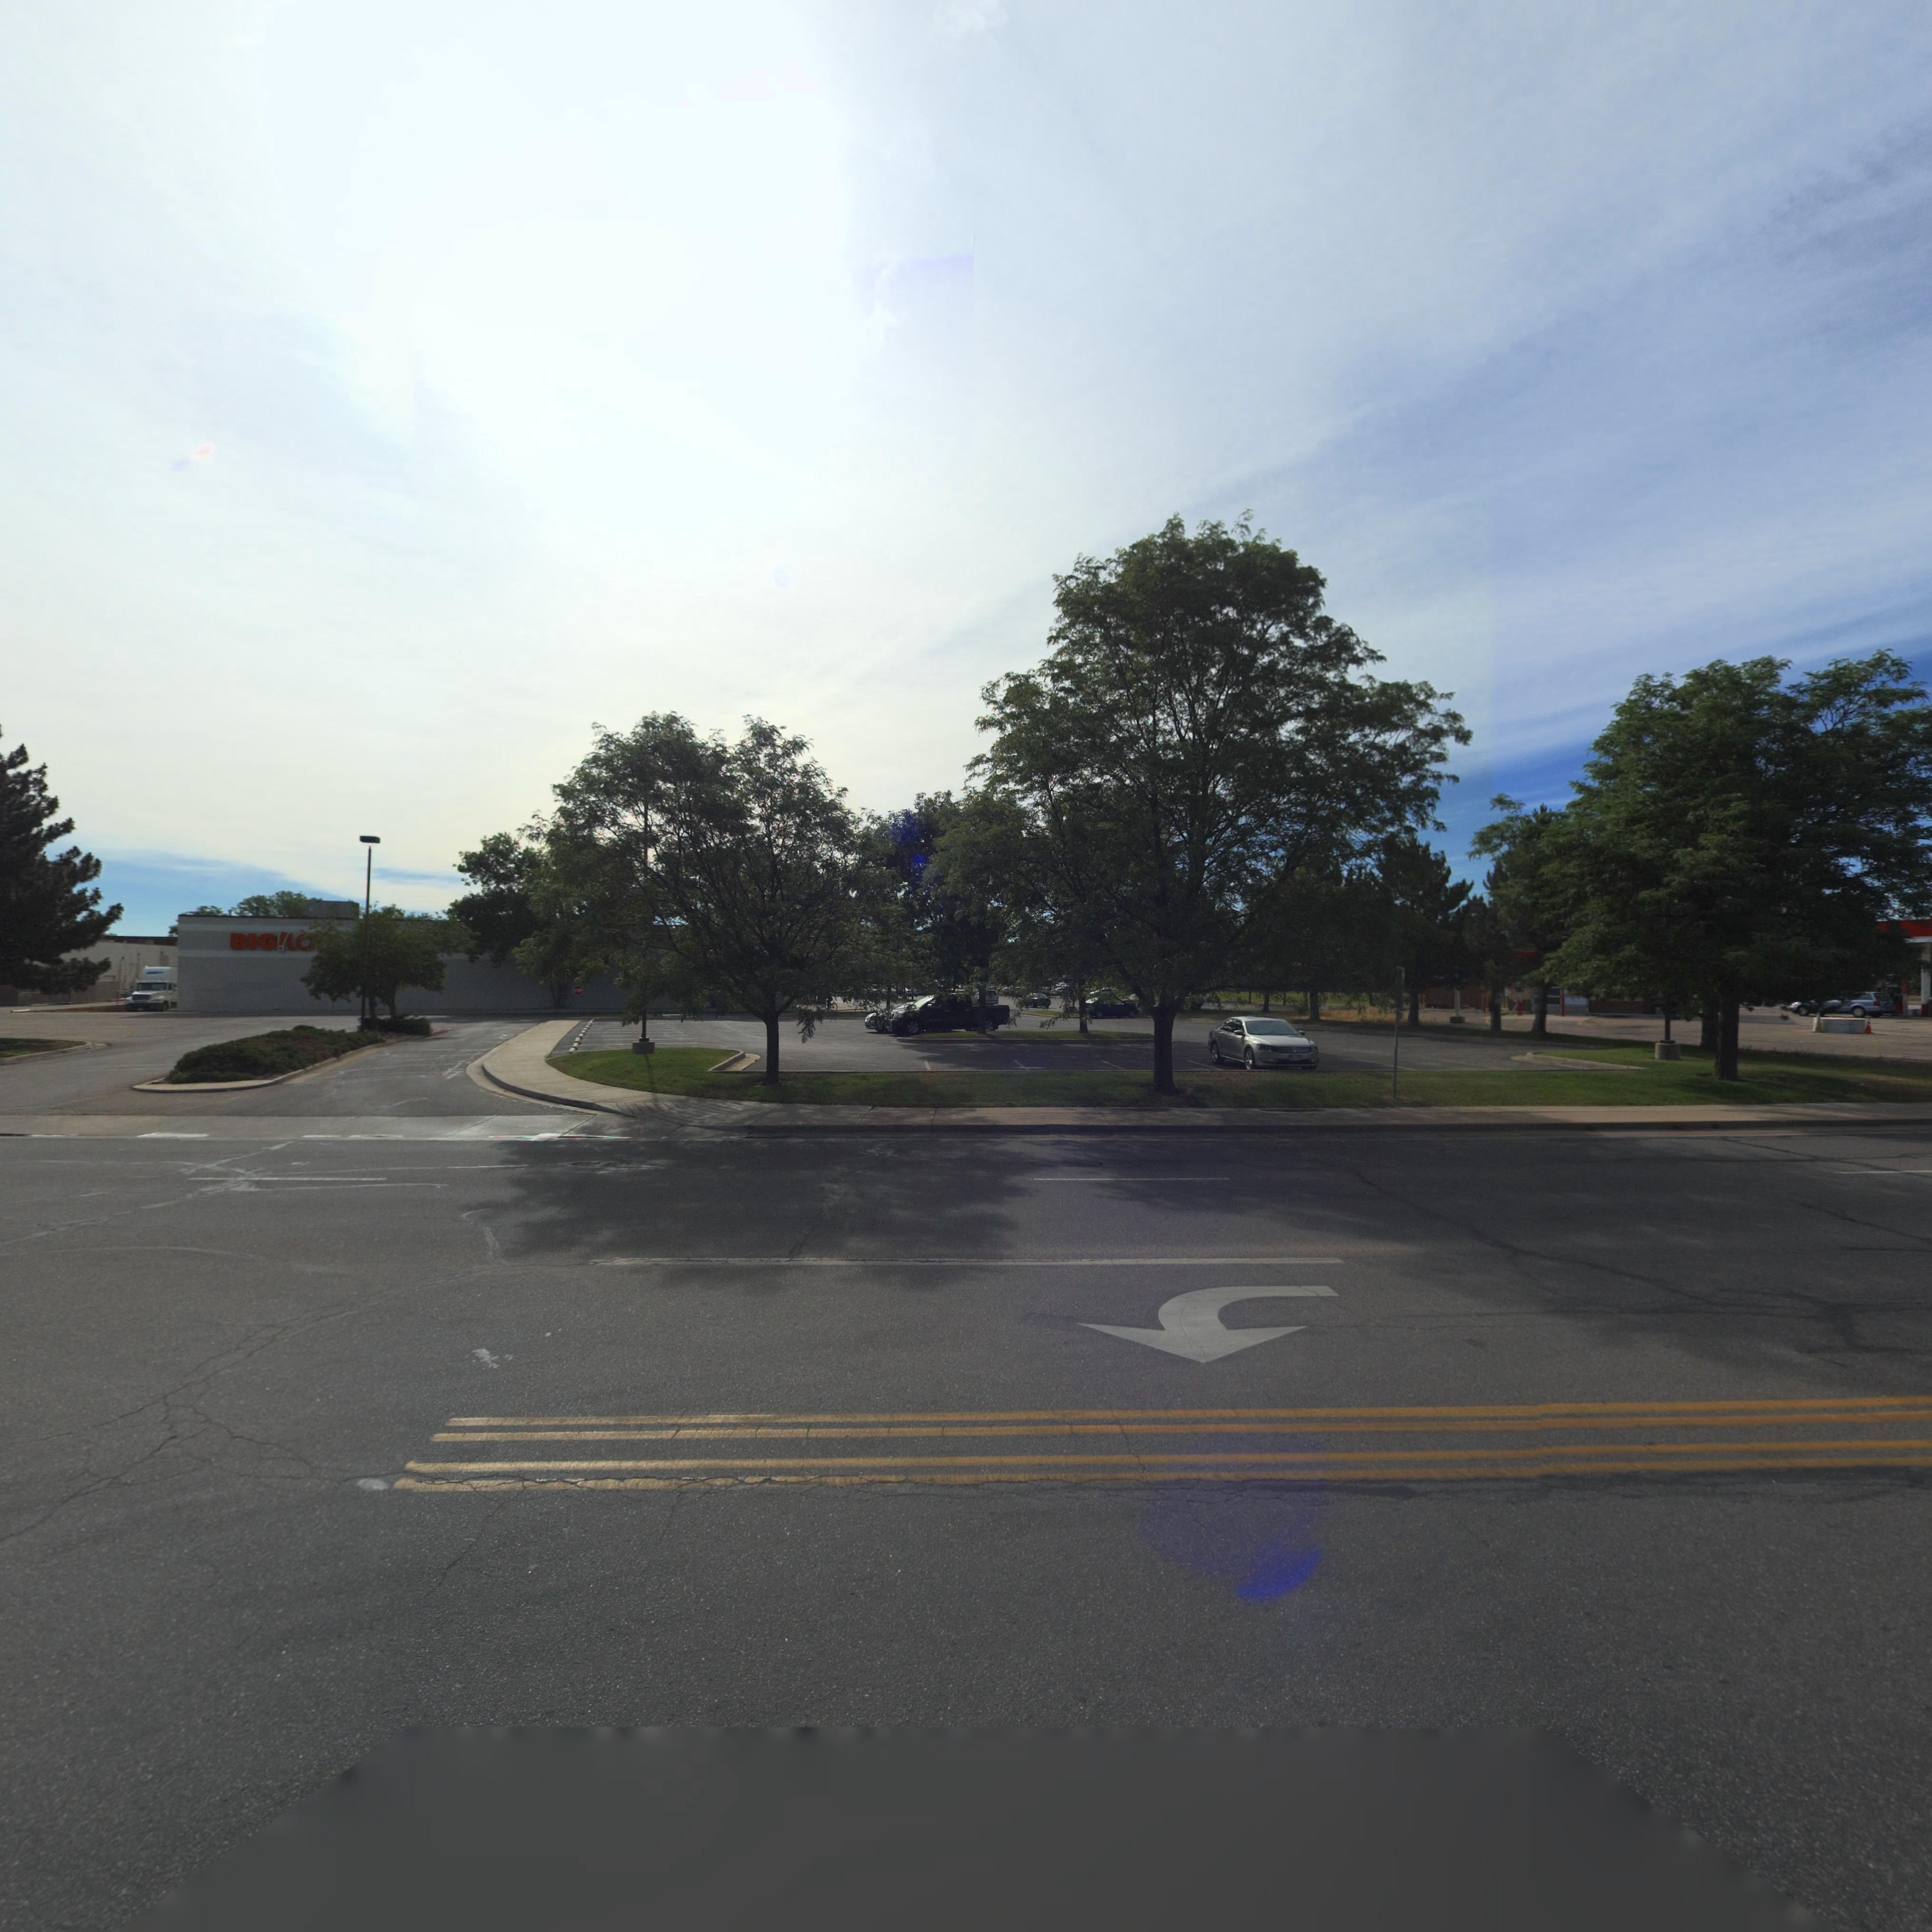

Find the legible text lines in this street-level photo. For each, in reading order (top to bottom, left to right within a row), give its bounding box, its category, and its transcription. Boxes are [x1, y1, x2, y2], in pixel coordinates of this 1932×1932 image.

[230, 931, 317, 952] BusinessName: BIG!L*